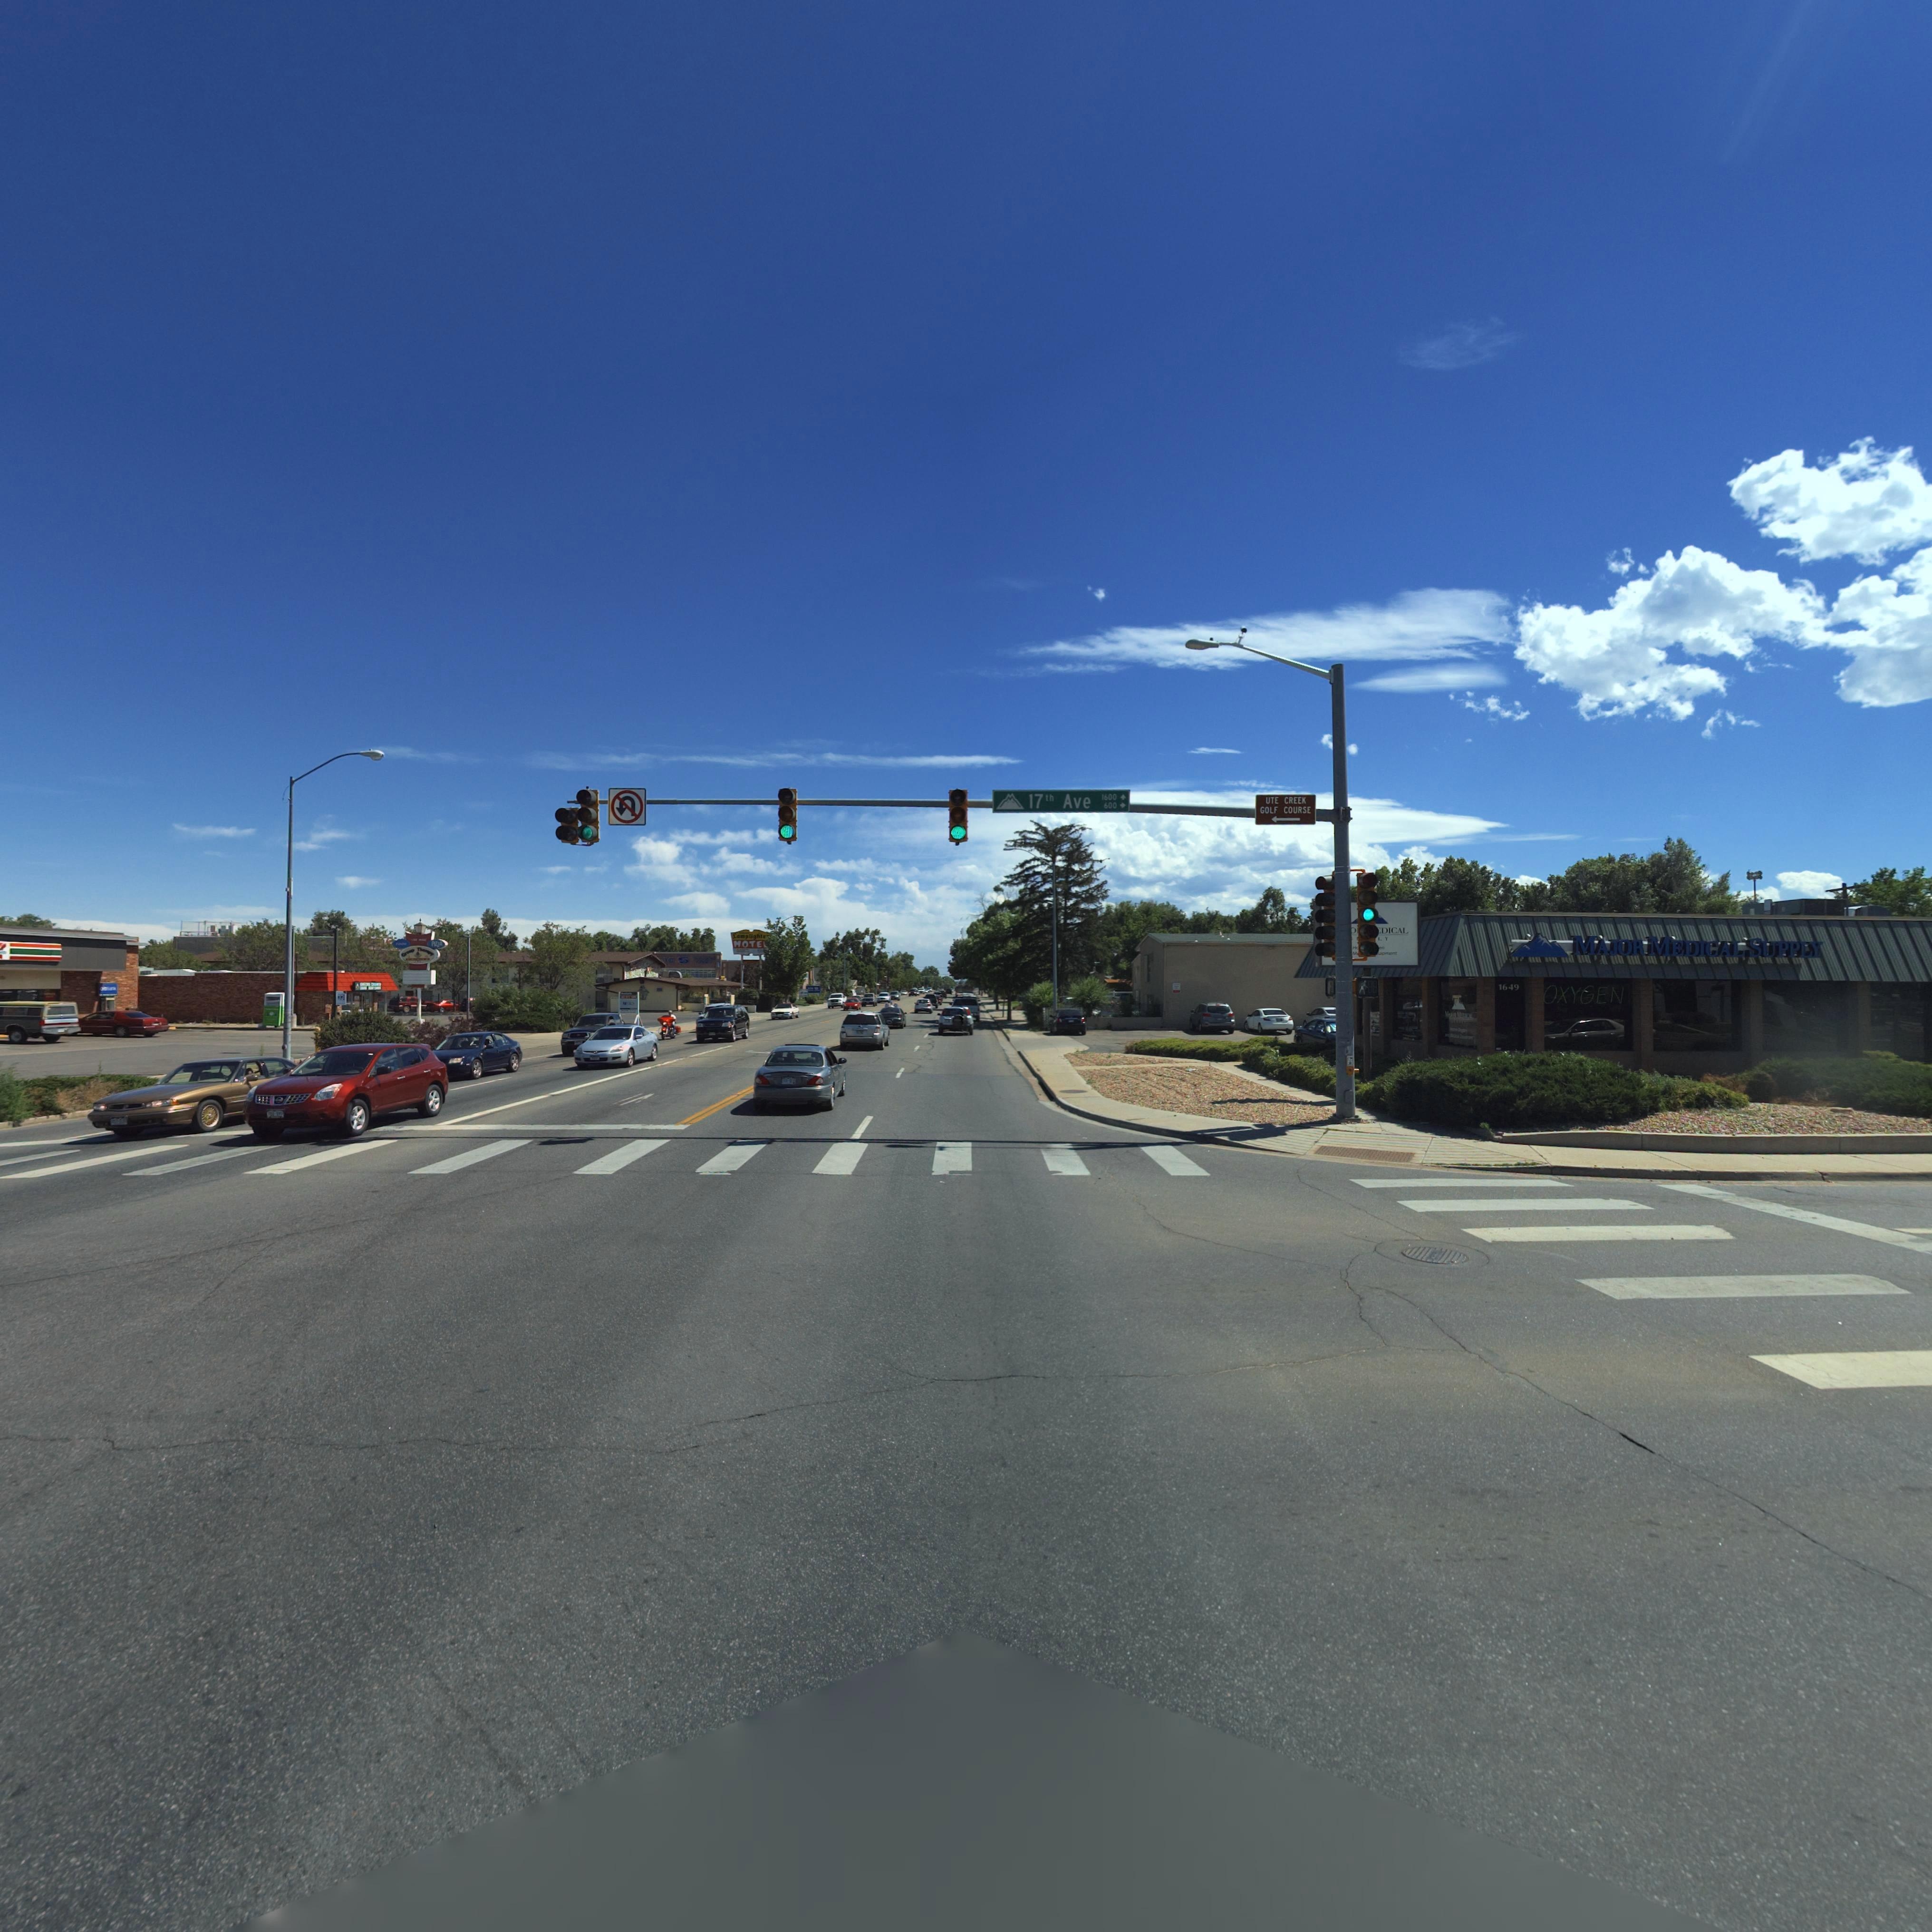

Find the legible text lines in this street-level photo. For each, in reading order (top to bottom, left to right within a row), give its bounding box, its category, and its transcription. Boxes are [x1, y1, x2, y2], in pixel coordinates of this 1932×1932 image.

[1101, 793, 1117, 801] StreetNumberRange: 1600
[1028, 793, 1091, 809] StreetName: 17th Ave
[1103, 802, 1126, 808] StreetNumberRange: 600 ->
[1381, 926, 1409, 934] BusinessName: DICAL
[733, 933, 770, 940] BusinessName: Lamplighte*
[1377, 936, 1388, 941] BusinessName: LY
[734, 940, 770, 948] BusinessName: MOTEL
[1571, 935, 1824, 958] BusinessName: MAJOR MEDICAL SUPPLY
[667, 956, 675, 964] BusinessName: G
[677, 956, 689, 964] BusinessName: 5
[359, 982, 381, 986] BusinessName: CHECKS CA****
[1498, 983, 1519, 990] StreetNumber: 1649
[1444, 1010, 1473, 1018] BusinessName: M***R M**ICAL